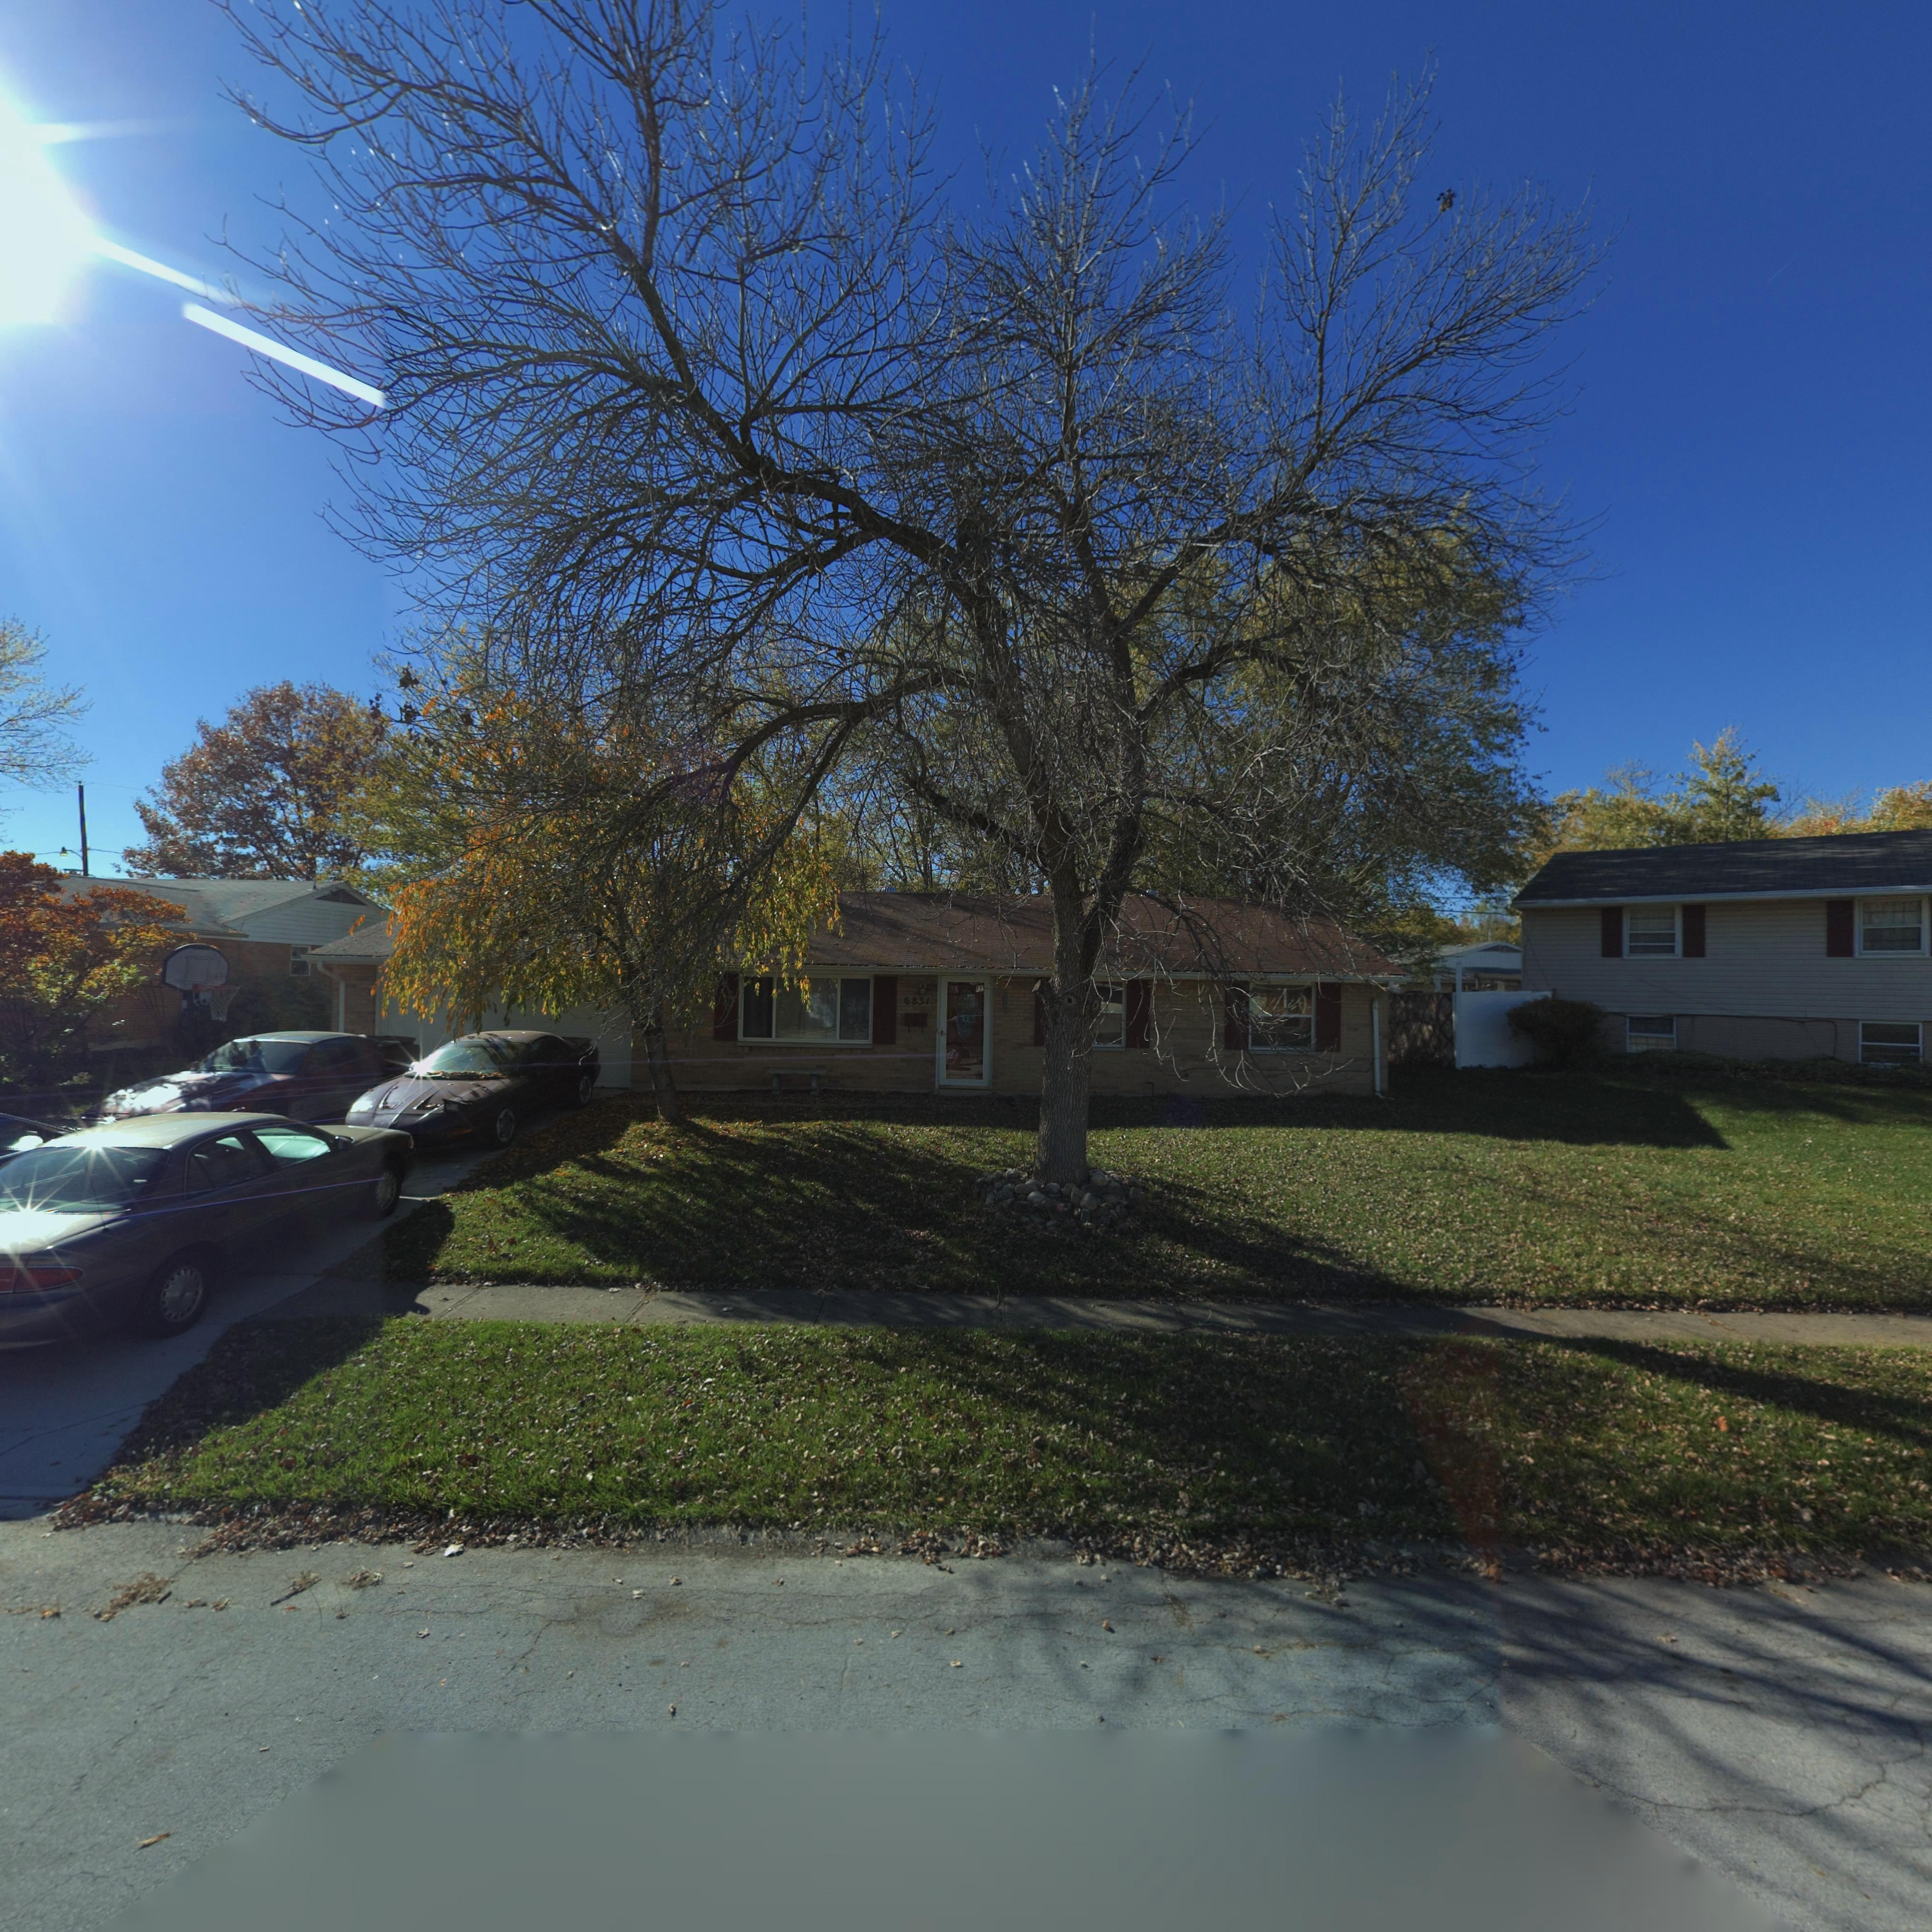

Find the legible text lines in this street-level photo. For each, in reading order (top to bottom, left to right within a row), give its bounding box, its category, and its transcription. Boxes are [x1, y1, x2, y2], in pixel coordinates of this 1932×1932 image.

[903, 996, 930, 1005] StreetNumber: 6831